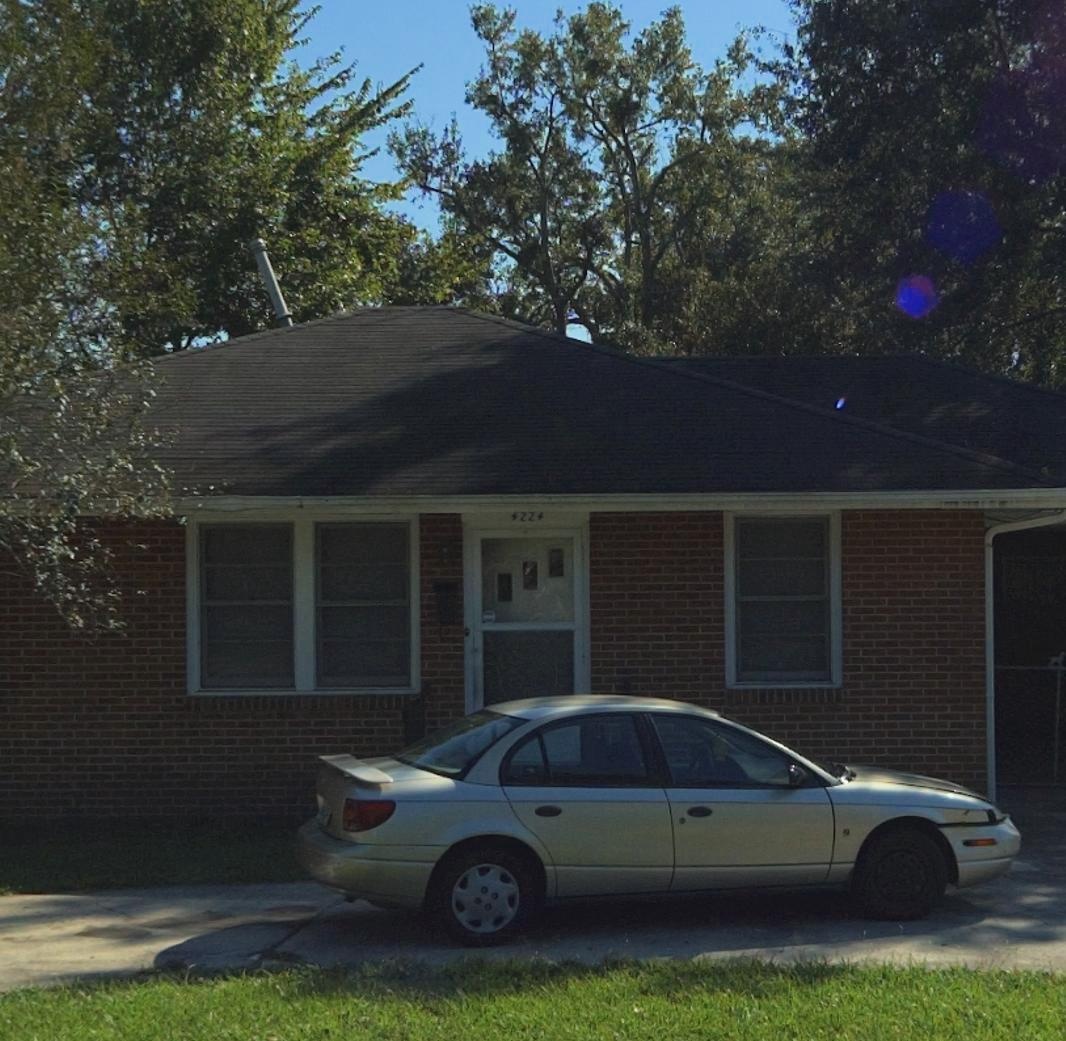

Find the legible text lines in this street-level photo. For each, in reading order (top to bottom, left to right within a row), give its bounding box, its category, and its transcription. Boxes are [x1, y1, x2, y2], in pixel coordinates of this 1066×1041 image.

[510, 511, 545, 522] StreetNumber: 4224